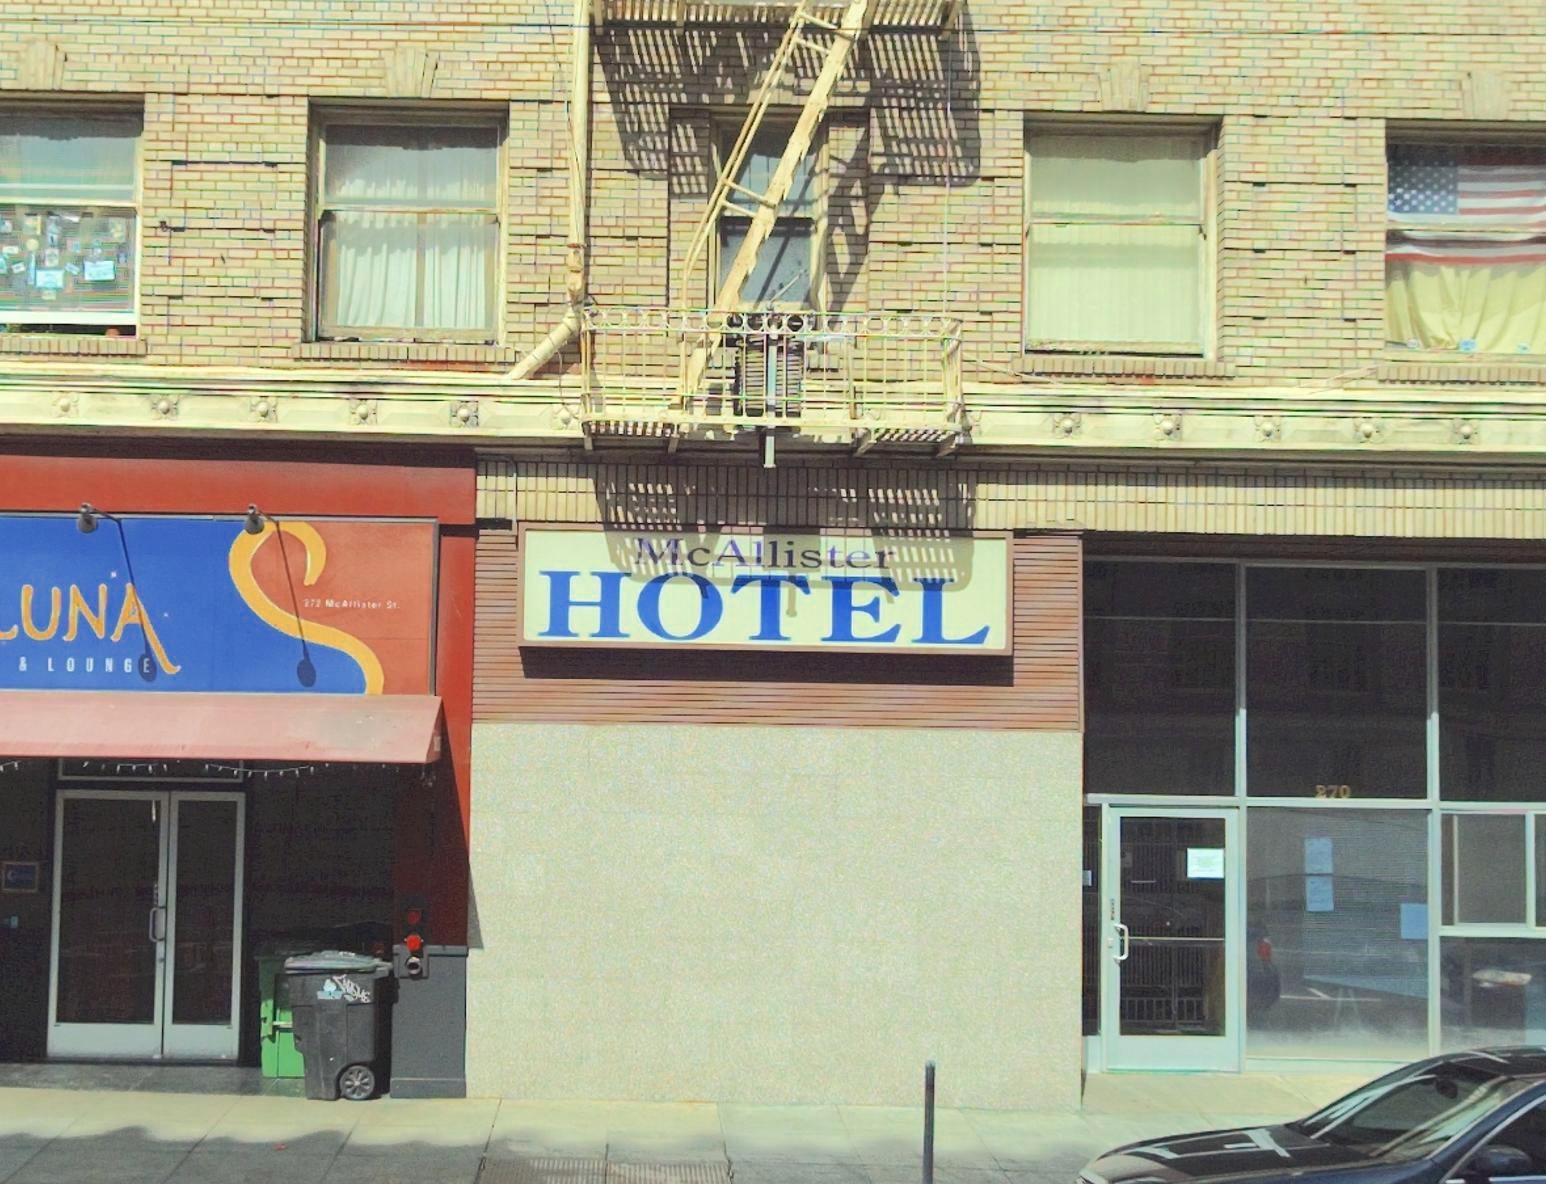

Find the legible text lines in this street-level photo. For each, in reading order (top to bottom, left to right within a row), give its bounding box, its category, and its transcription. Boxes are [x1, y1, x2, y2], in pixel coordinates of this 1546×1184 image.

[632, 535, 900, 570] BusinessName: McAllister
[301, 596, 325, 612] StreetNumber: 27*
[323, 596, 403, 611] StreetName: McAllister St.
[530, 563, 993, 650] BusinessName: HOTEL
[17, 578, 187, 680] BusinessName: UNA
[43, 655, 152, 676] None: LOUNGE
[1313, 782, 1353, 800] StreetNumber: 270